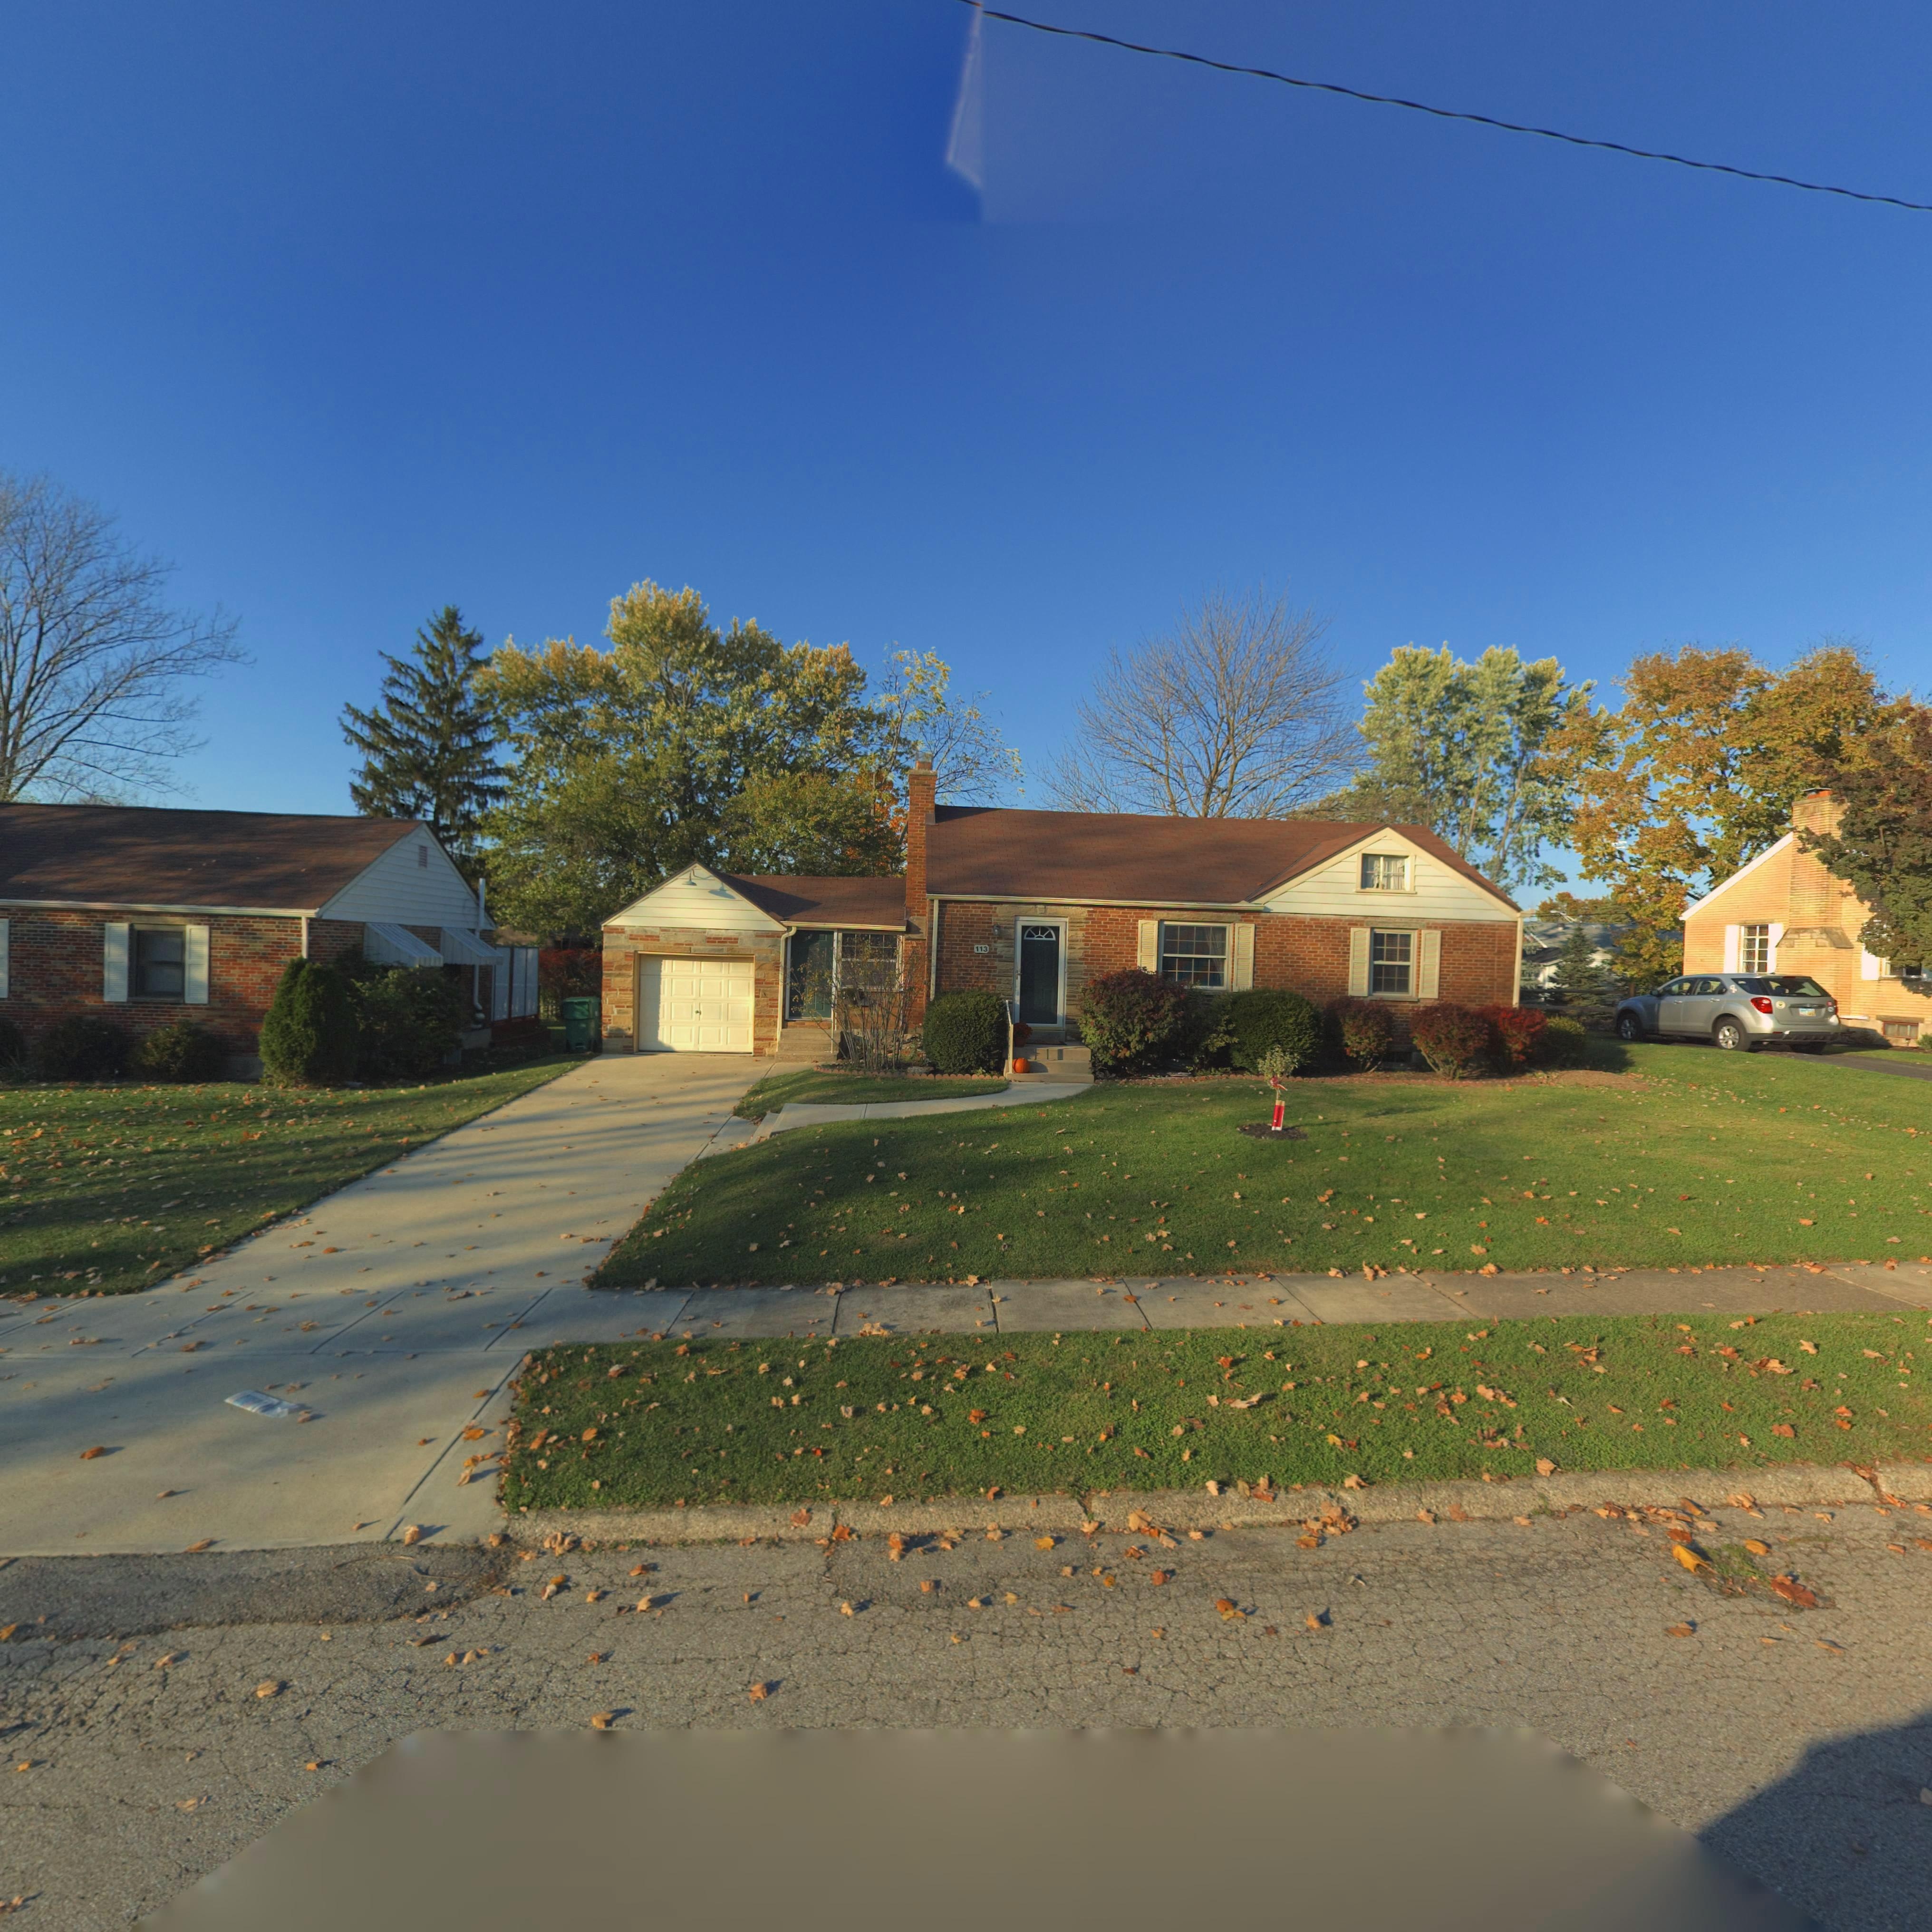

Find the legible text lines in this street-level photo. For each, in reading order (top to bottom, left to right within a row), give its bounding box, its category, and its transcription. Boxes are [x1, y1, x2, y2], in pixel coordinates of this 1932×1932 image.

[975, 946, 988, 952] StreetNumber: 113